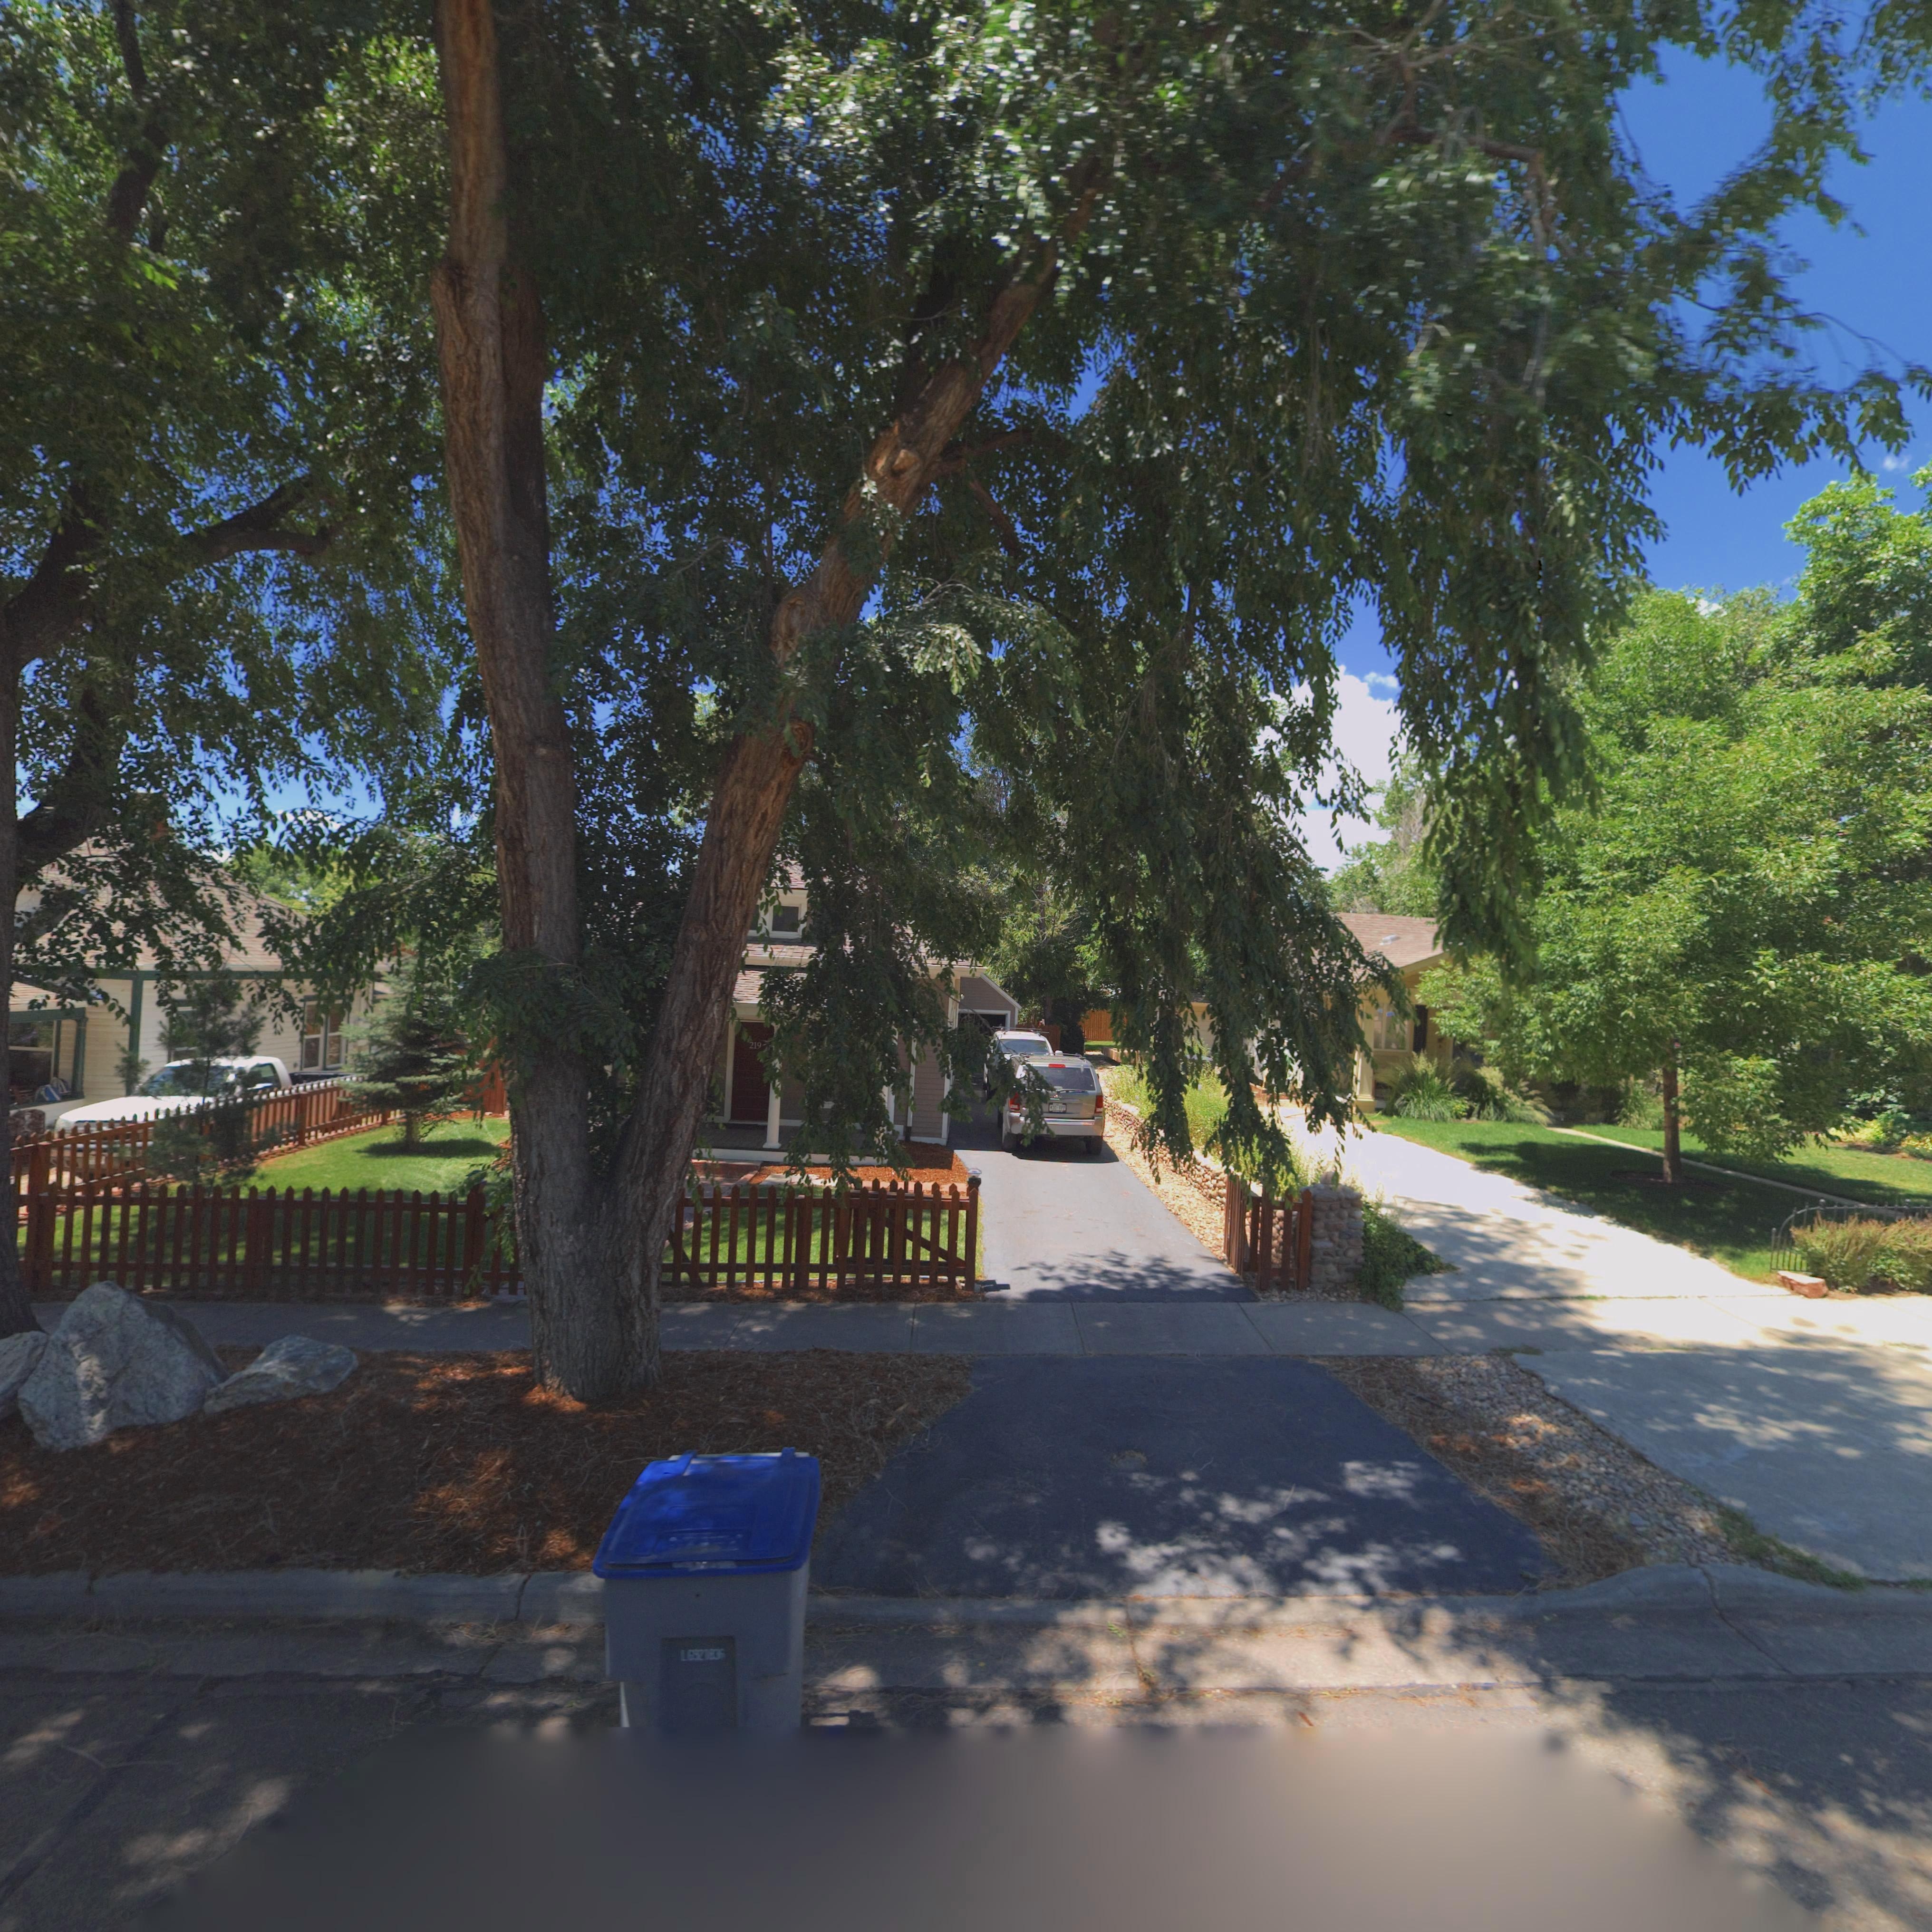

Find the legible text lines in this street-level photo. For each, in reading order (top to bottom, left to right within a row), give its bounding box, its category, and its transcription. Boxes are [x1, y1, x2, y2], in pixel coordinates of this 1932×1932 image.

[749, 1041, 762, 1049] StreetNumber: 219